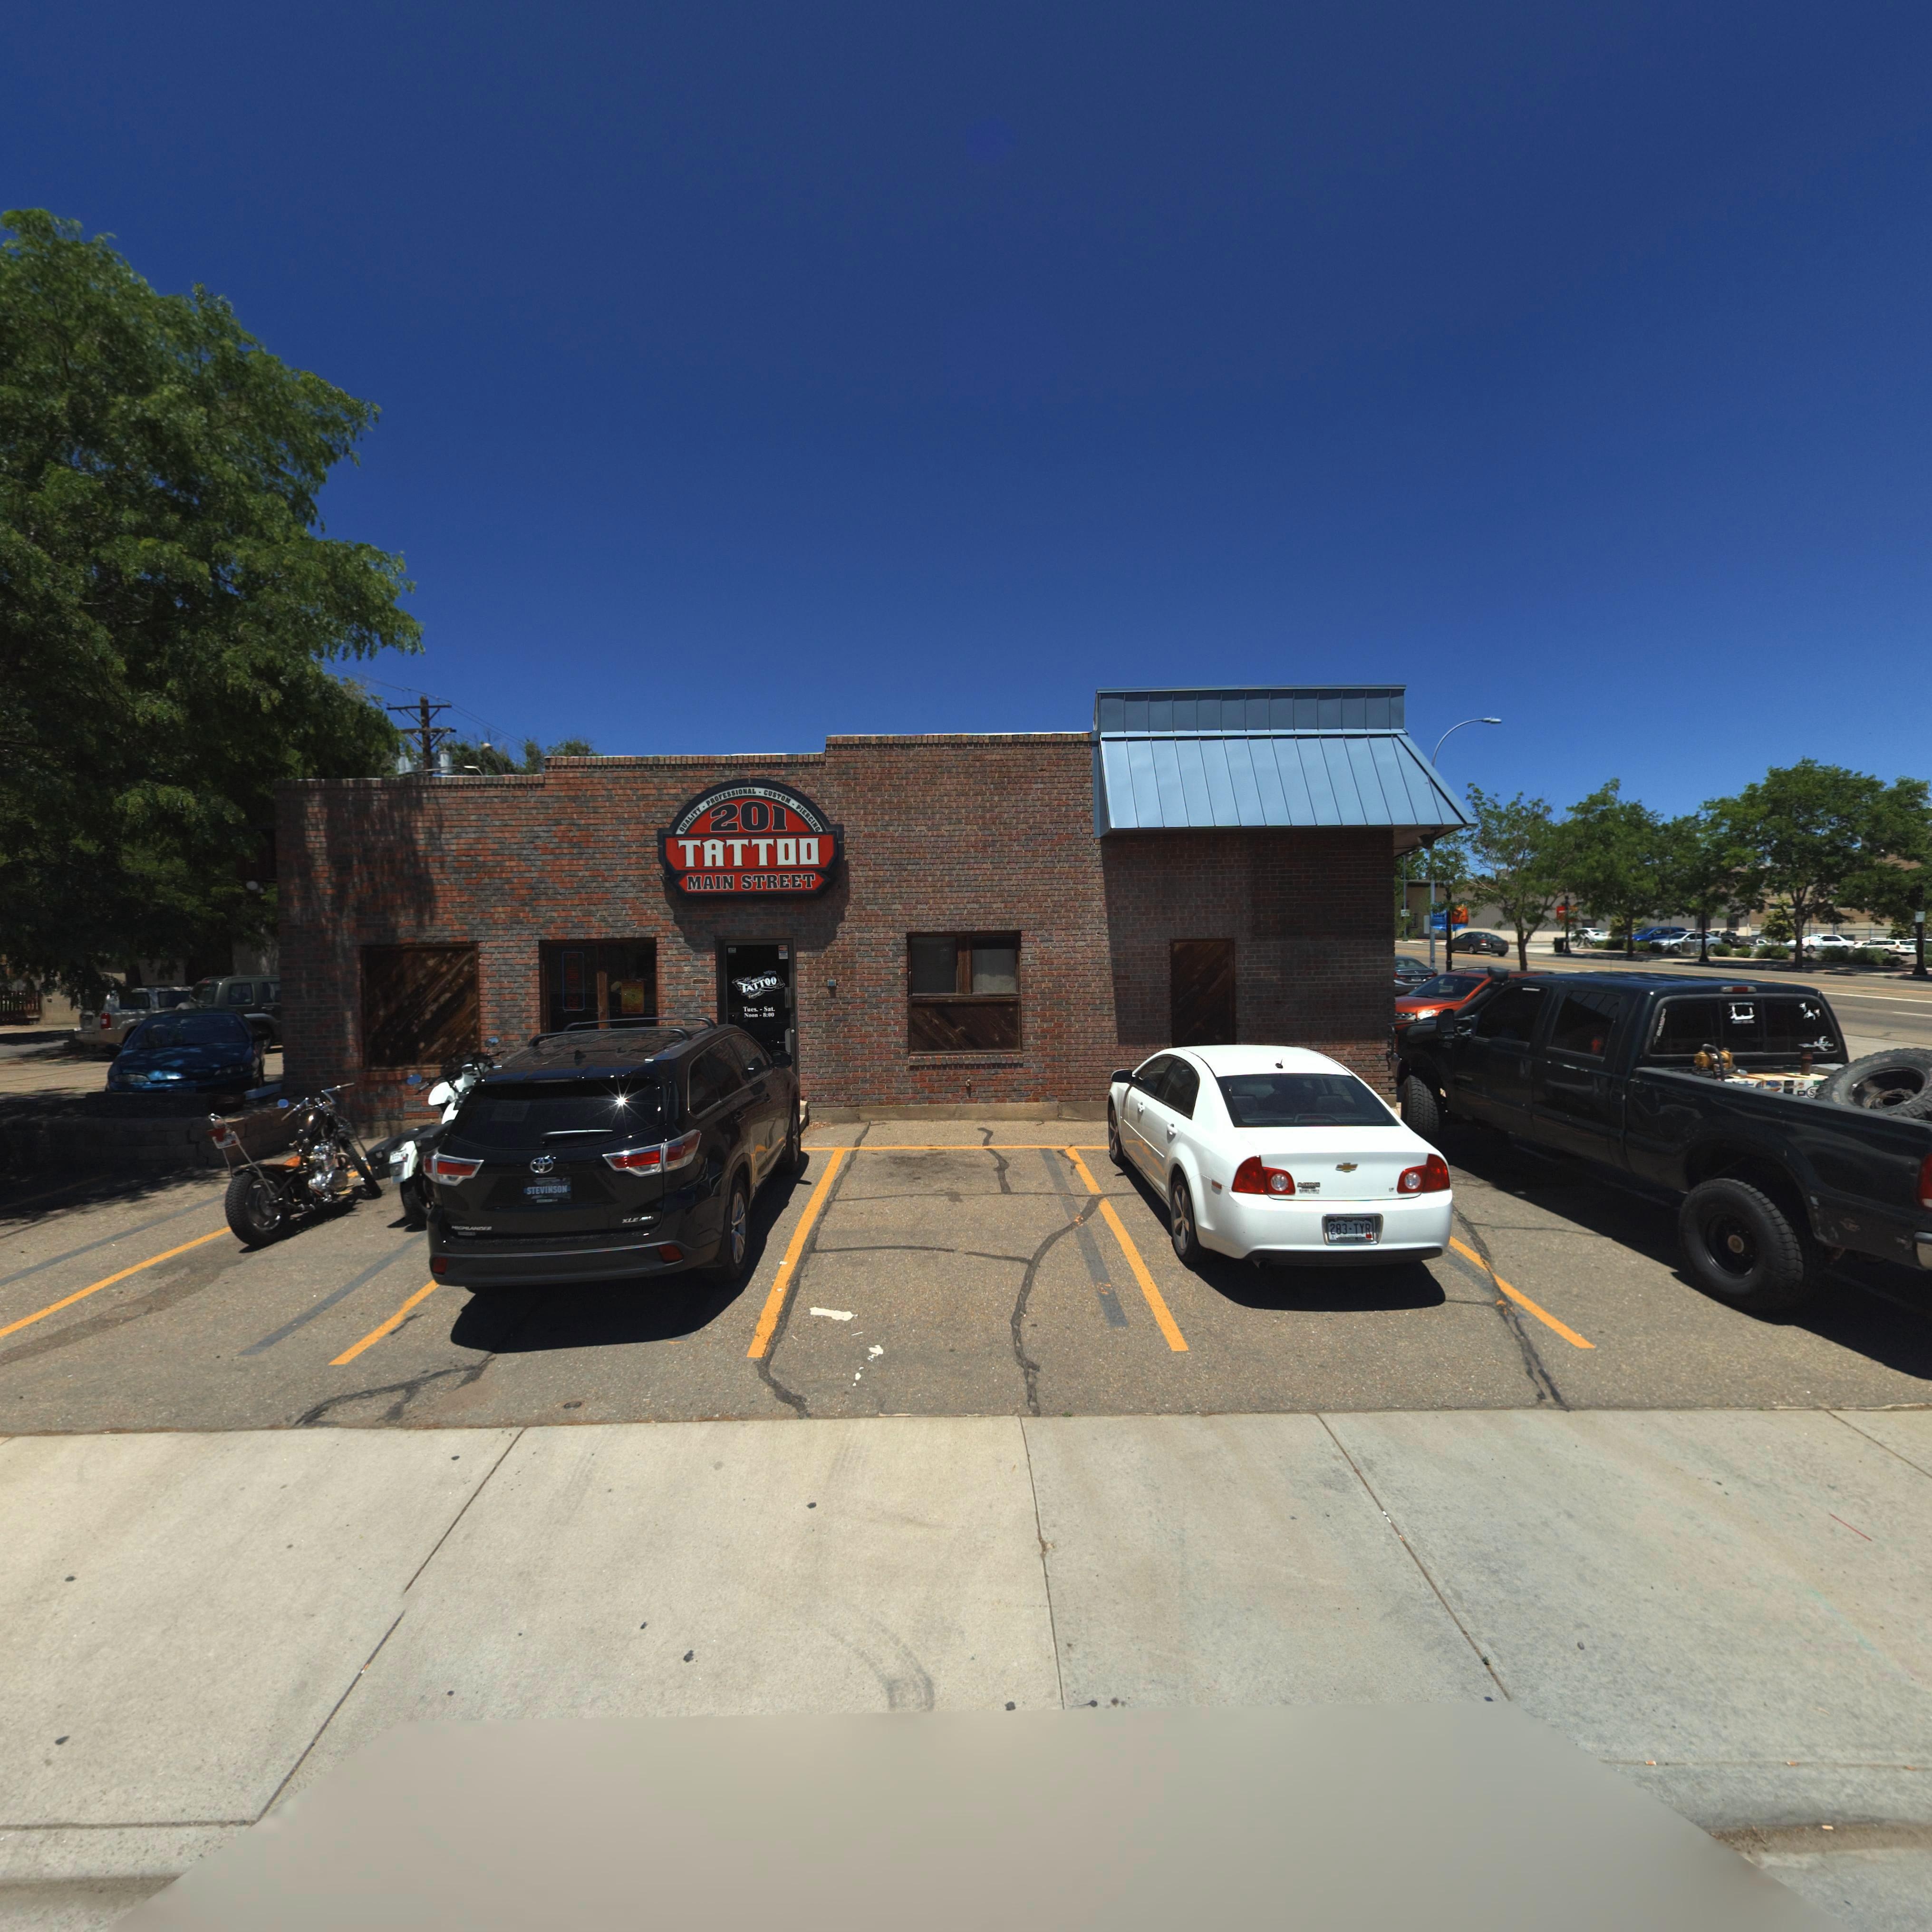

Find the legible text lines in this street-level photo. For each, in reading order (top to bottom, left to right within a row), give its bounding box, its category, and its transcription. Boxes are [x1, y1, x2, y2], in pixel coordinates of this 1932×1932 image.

[710, 800, 787, 831] StreetNumber: 201
[677, 837, 821, 867] BusinessName: TATTOO
[687, 874, 814, 889] BusinessName: MAIN STREET
[736, 976, 777, 994] BusinessName: TATTOO